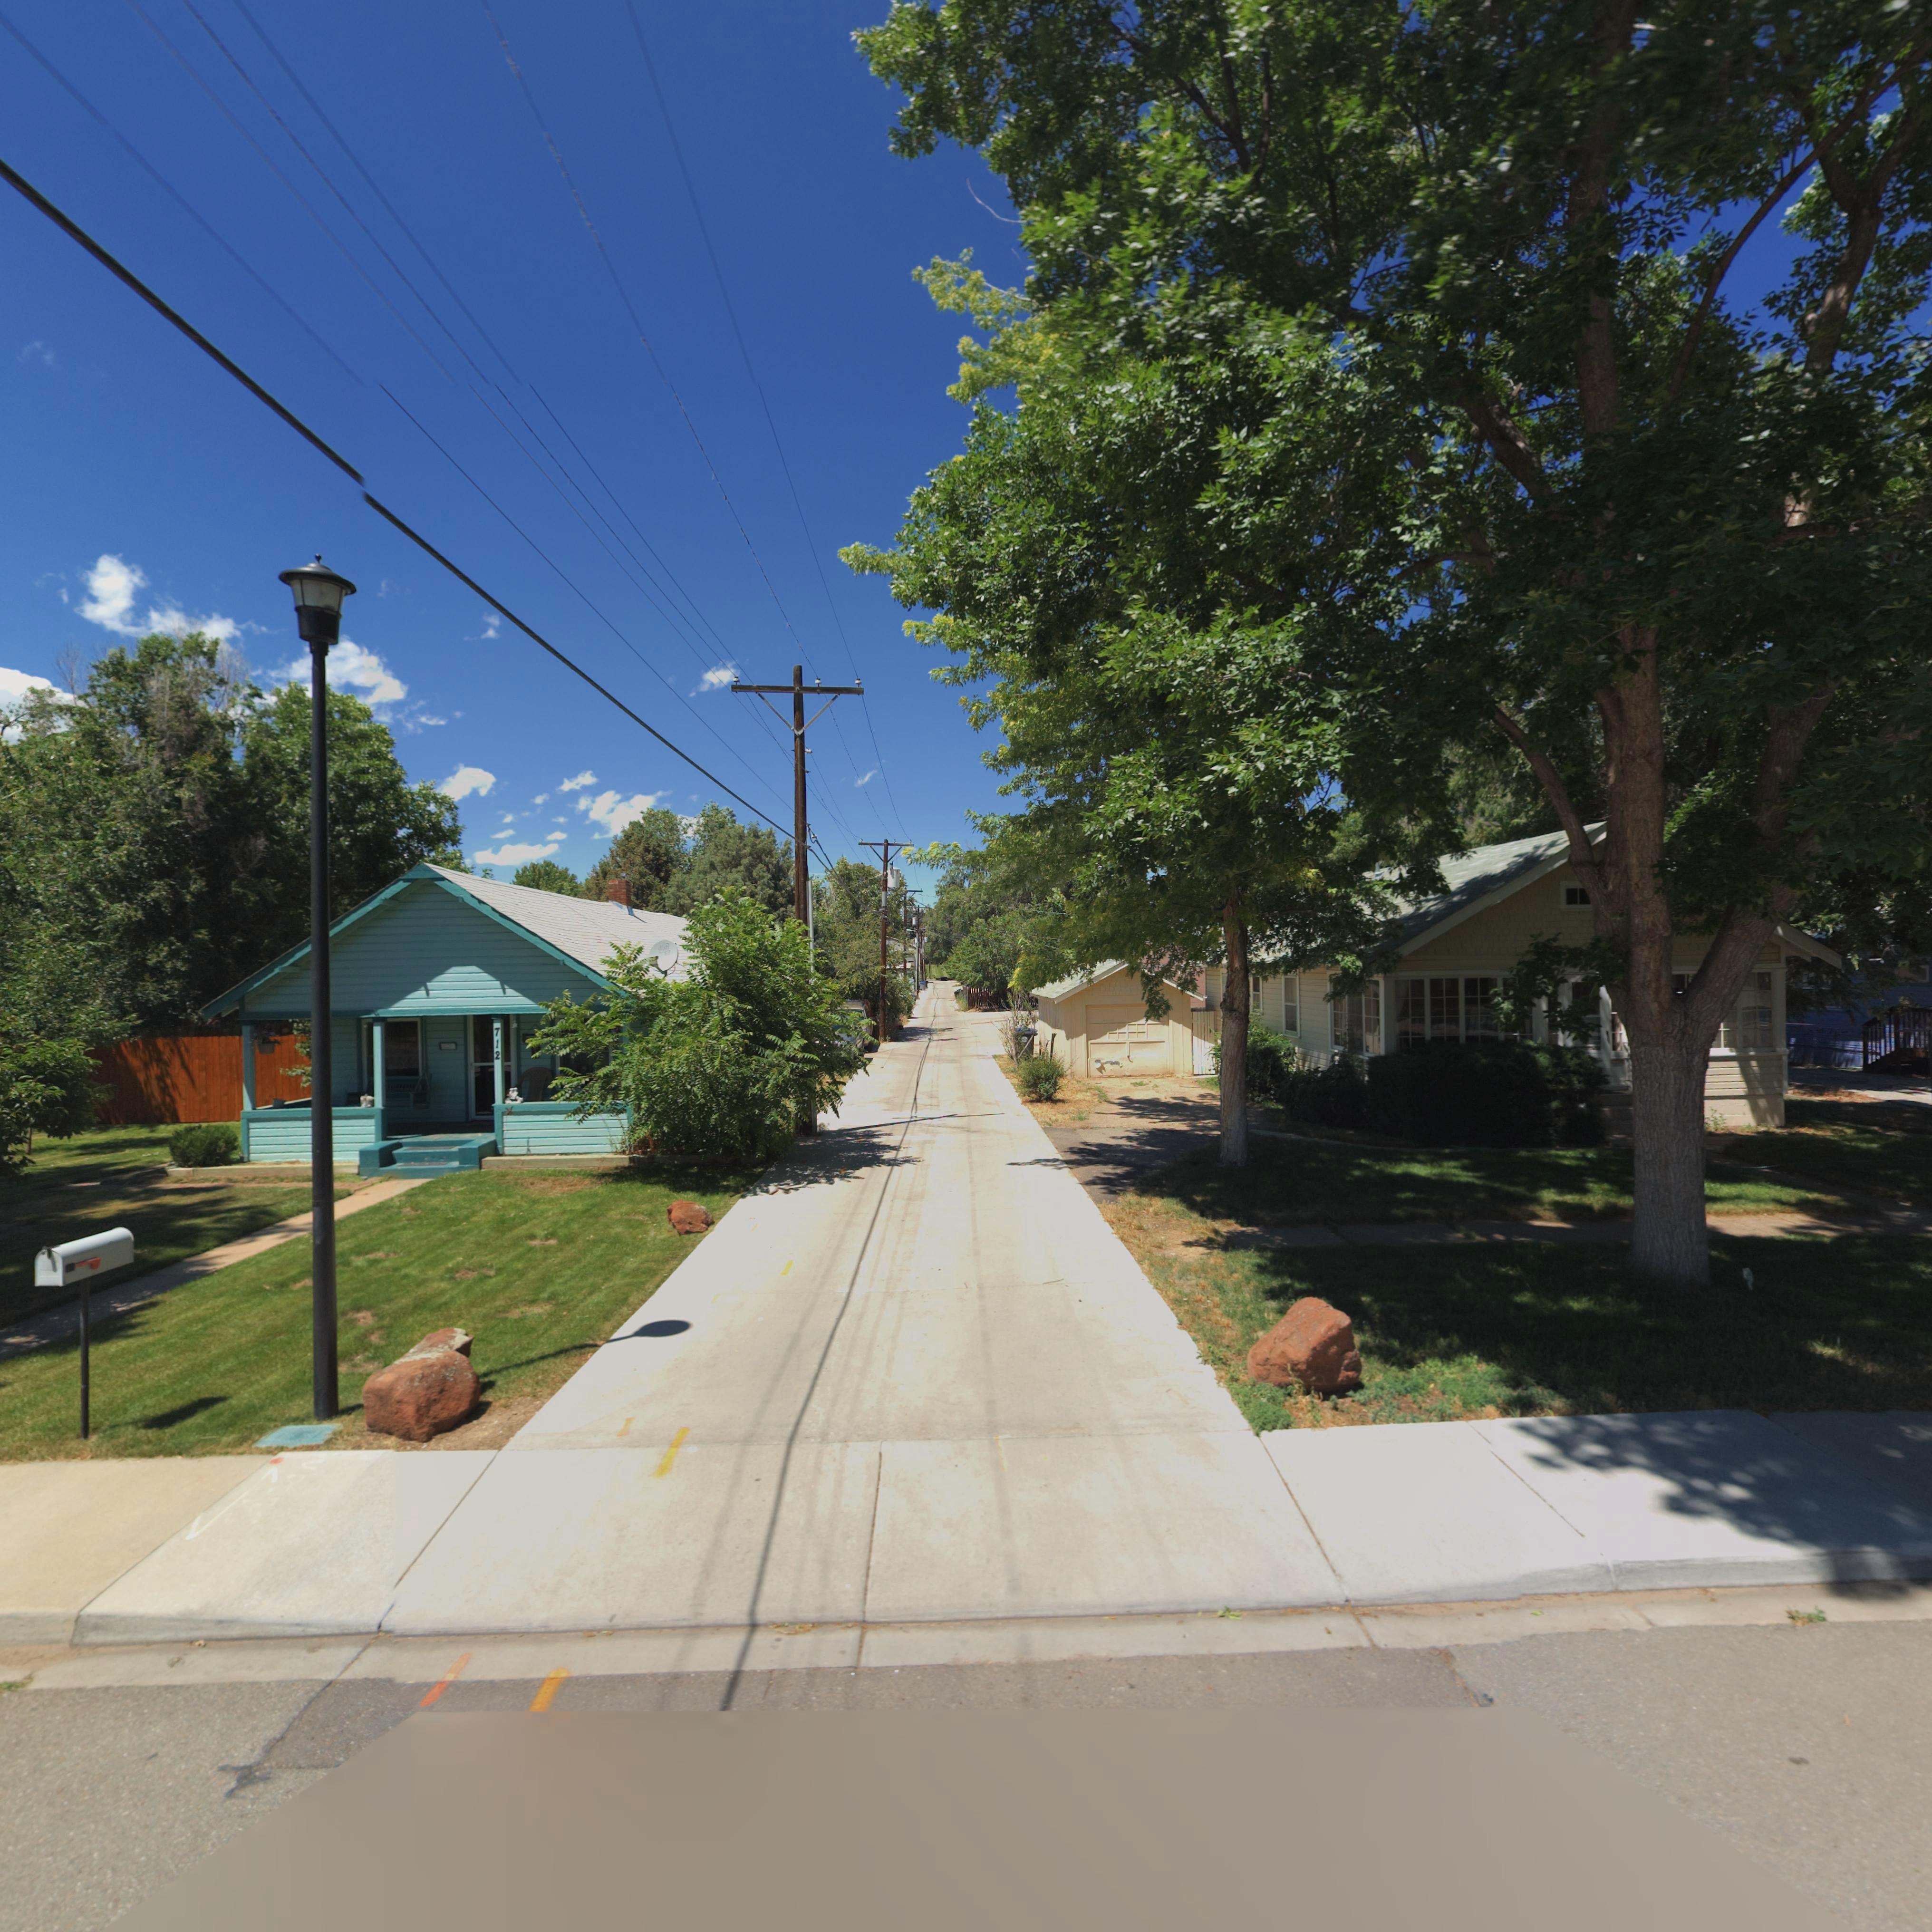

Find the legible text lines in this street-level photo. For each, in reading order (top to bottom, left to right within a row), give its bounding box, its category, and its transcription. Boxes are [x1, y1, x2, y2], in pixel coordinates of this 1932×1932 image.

[494, 1025, 501, 1061] StreetNumber: 712